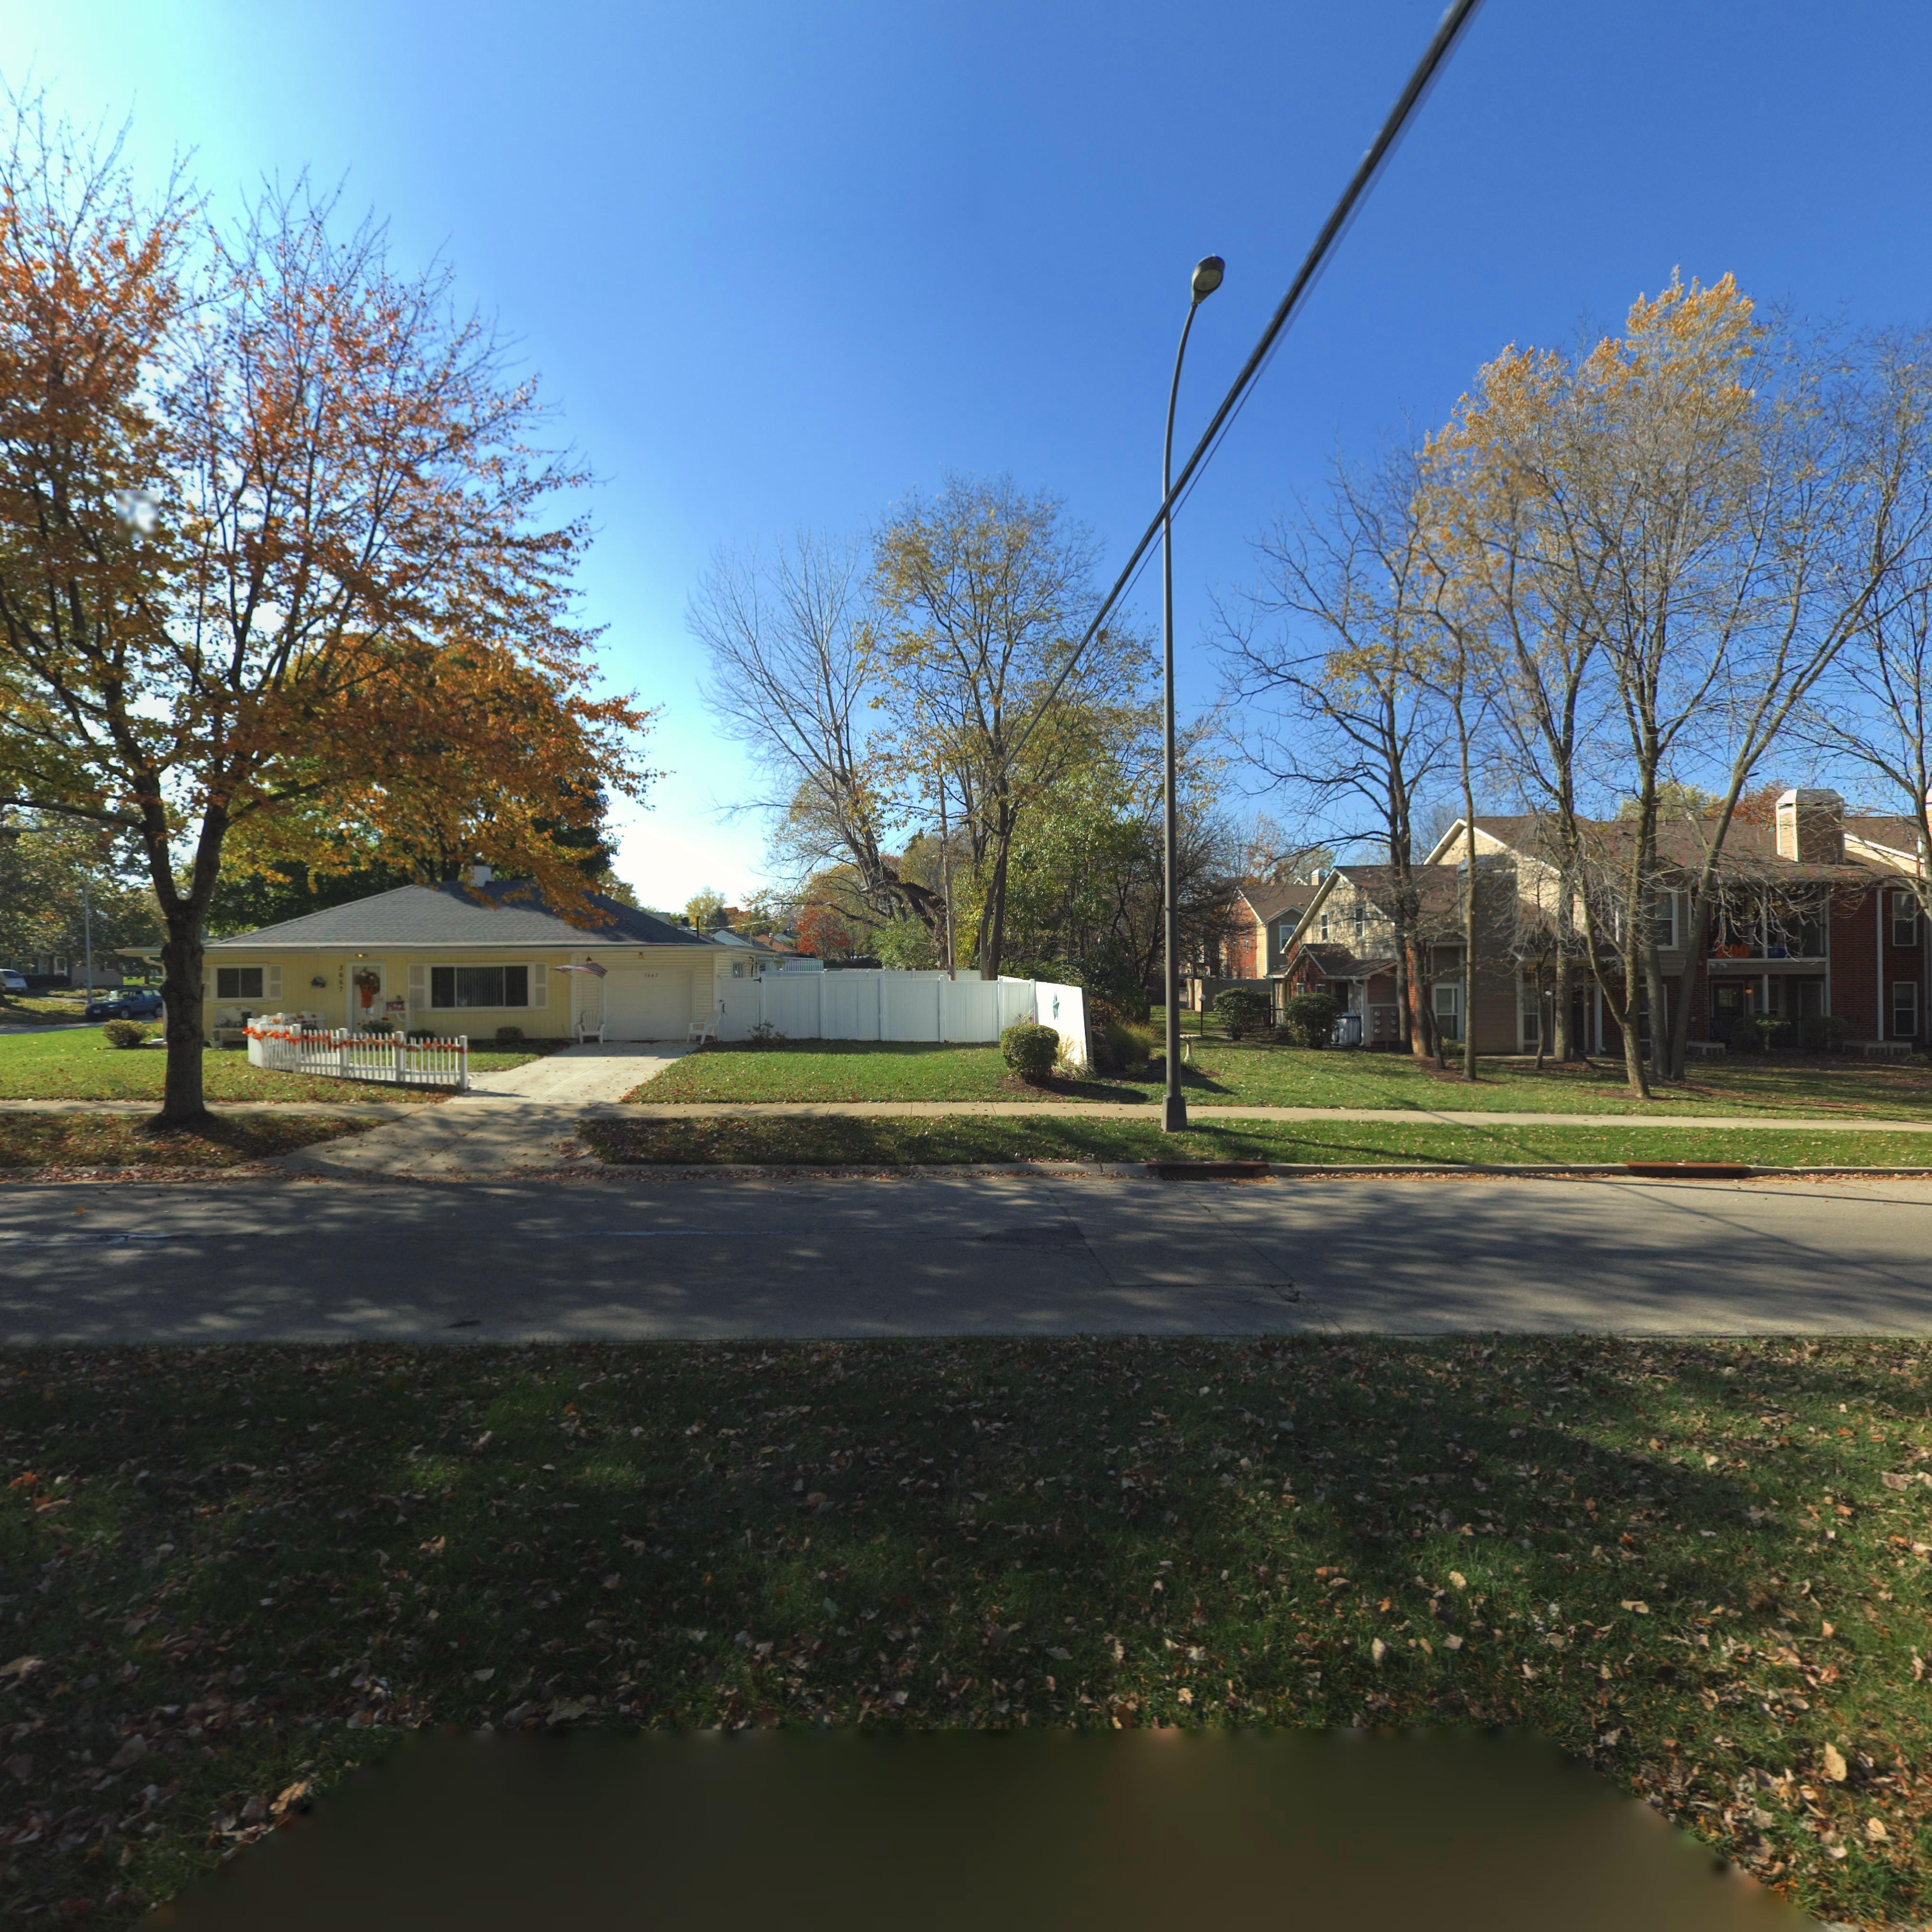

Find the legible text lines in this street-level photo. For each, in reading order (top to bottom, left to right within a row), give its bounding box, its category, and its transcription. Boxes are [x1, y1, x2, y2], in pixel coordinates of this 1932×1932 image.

[338, 964, 345, 993] StreetNumber: 3667
[643, 972, 658, 978] StreetNumber: 3667